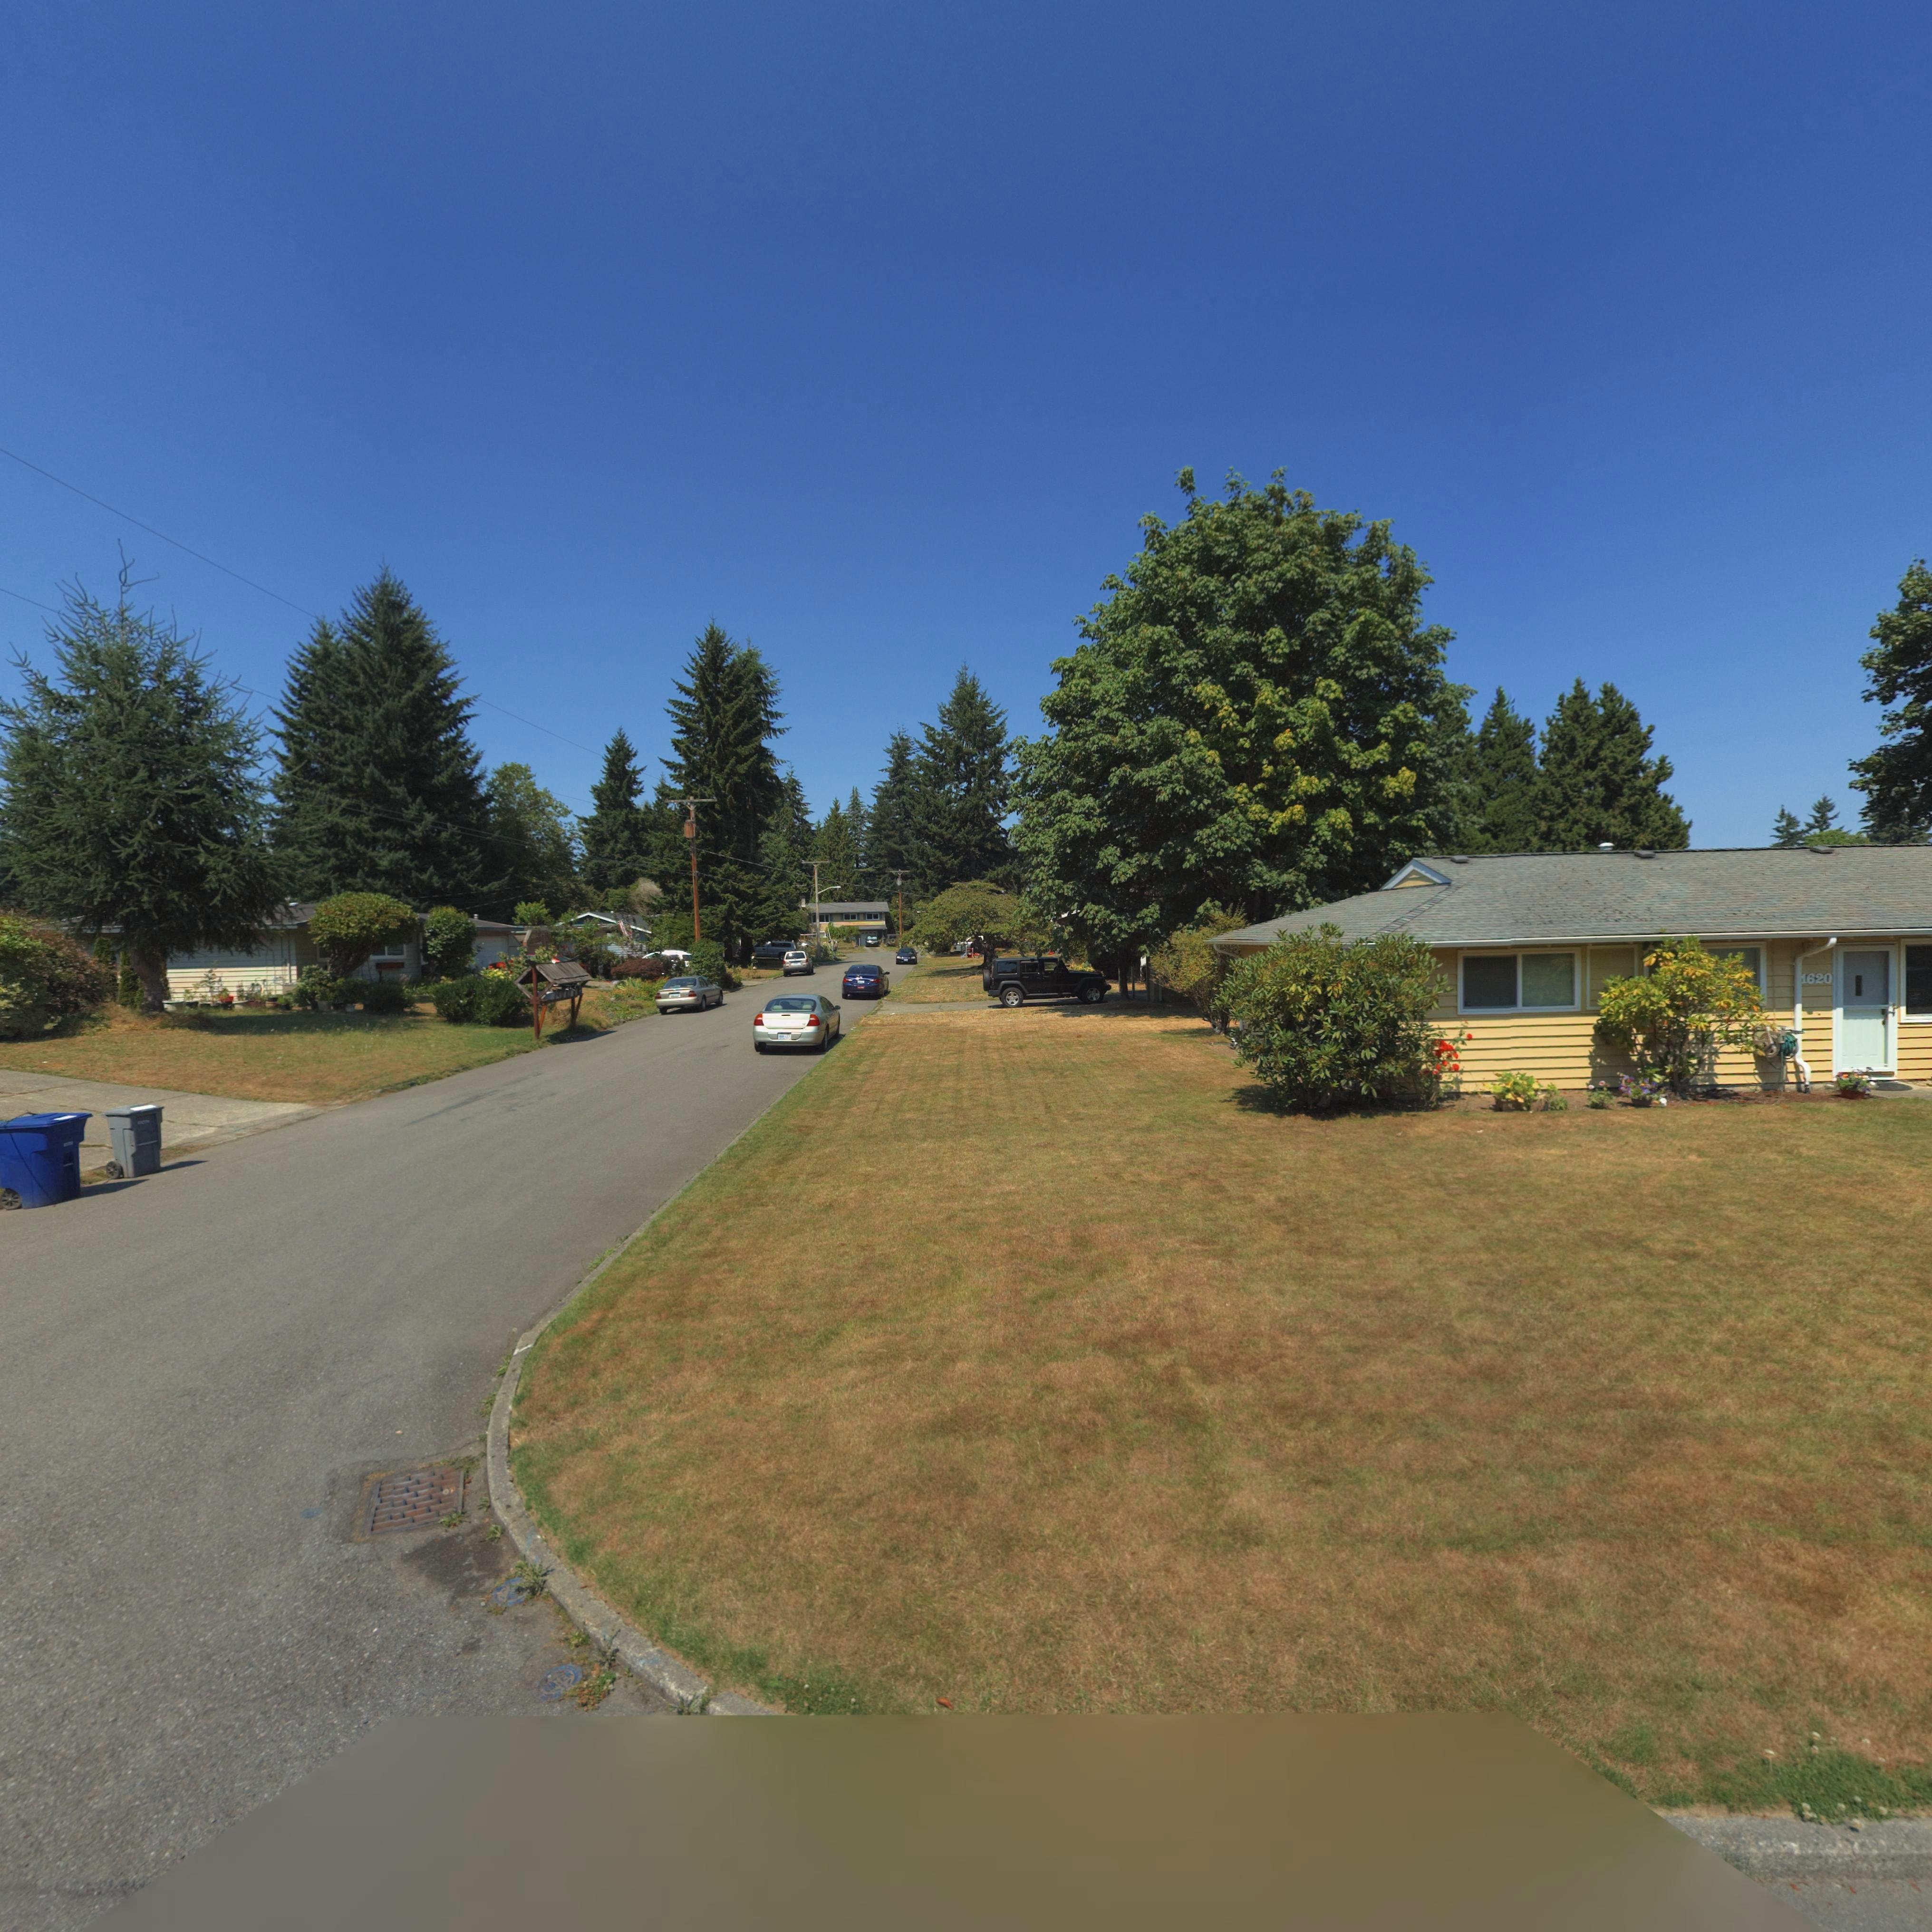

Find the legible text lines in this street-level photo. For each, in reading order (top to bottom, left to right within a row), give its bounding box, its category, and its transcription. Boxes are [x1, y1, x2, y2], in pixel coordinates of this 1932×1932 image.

[1801, 973, 1833, 984] StreetNumber: 1620